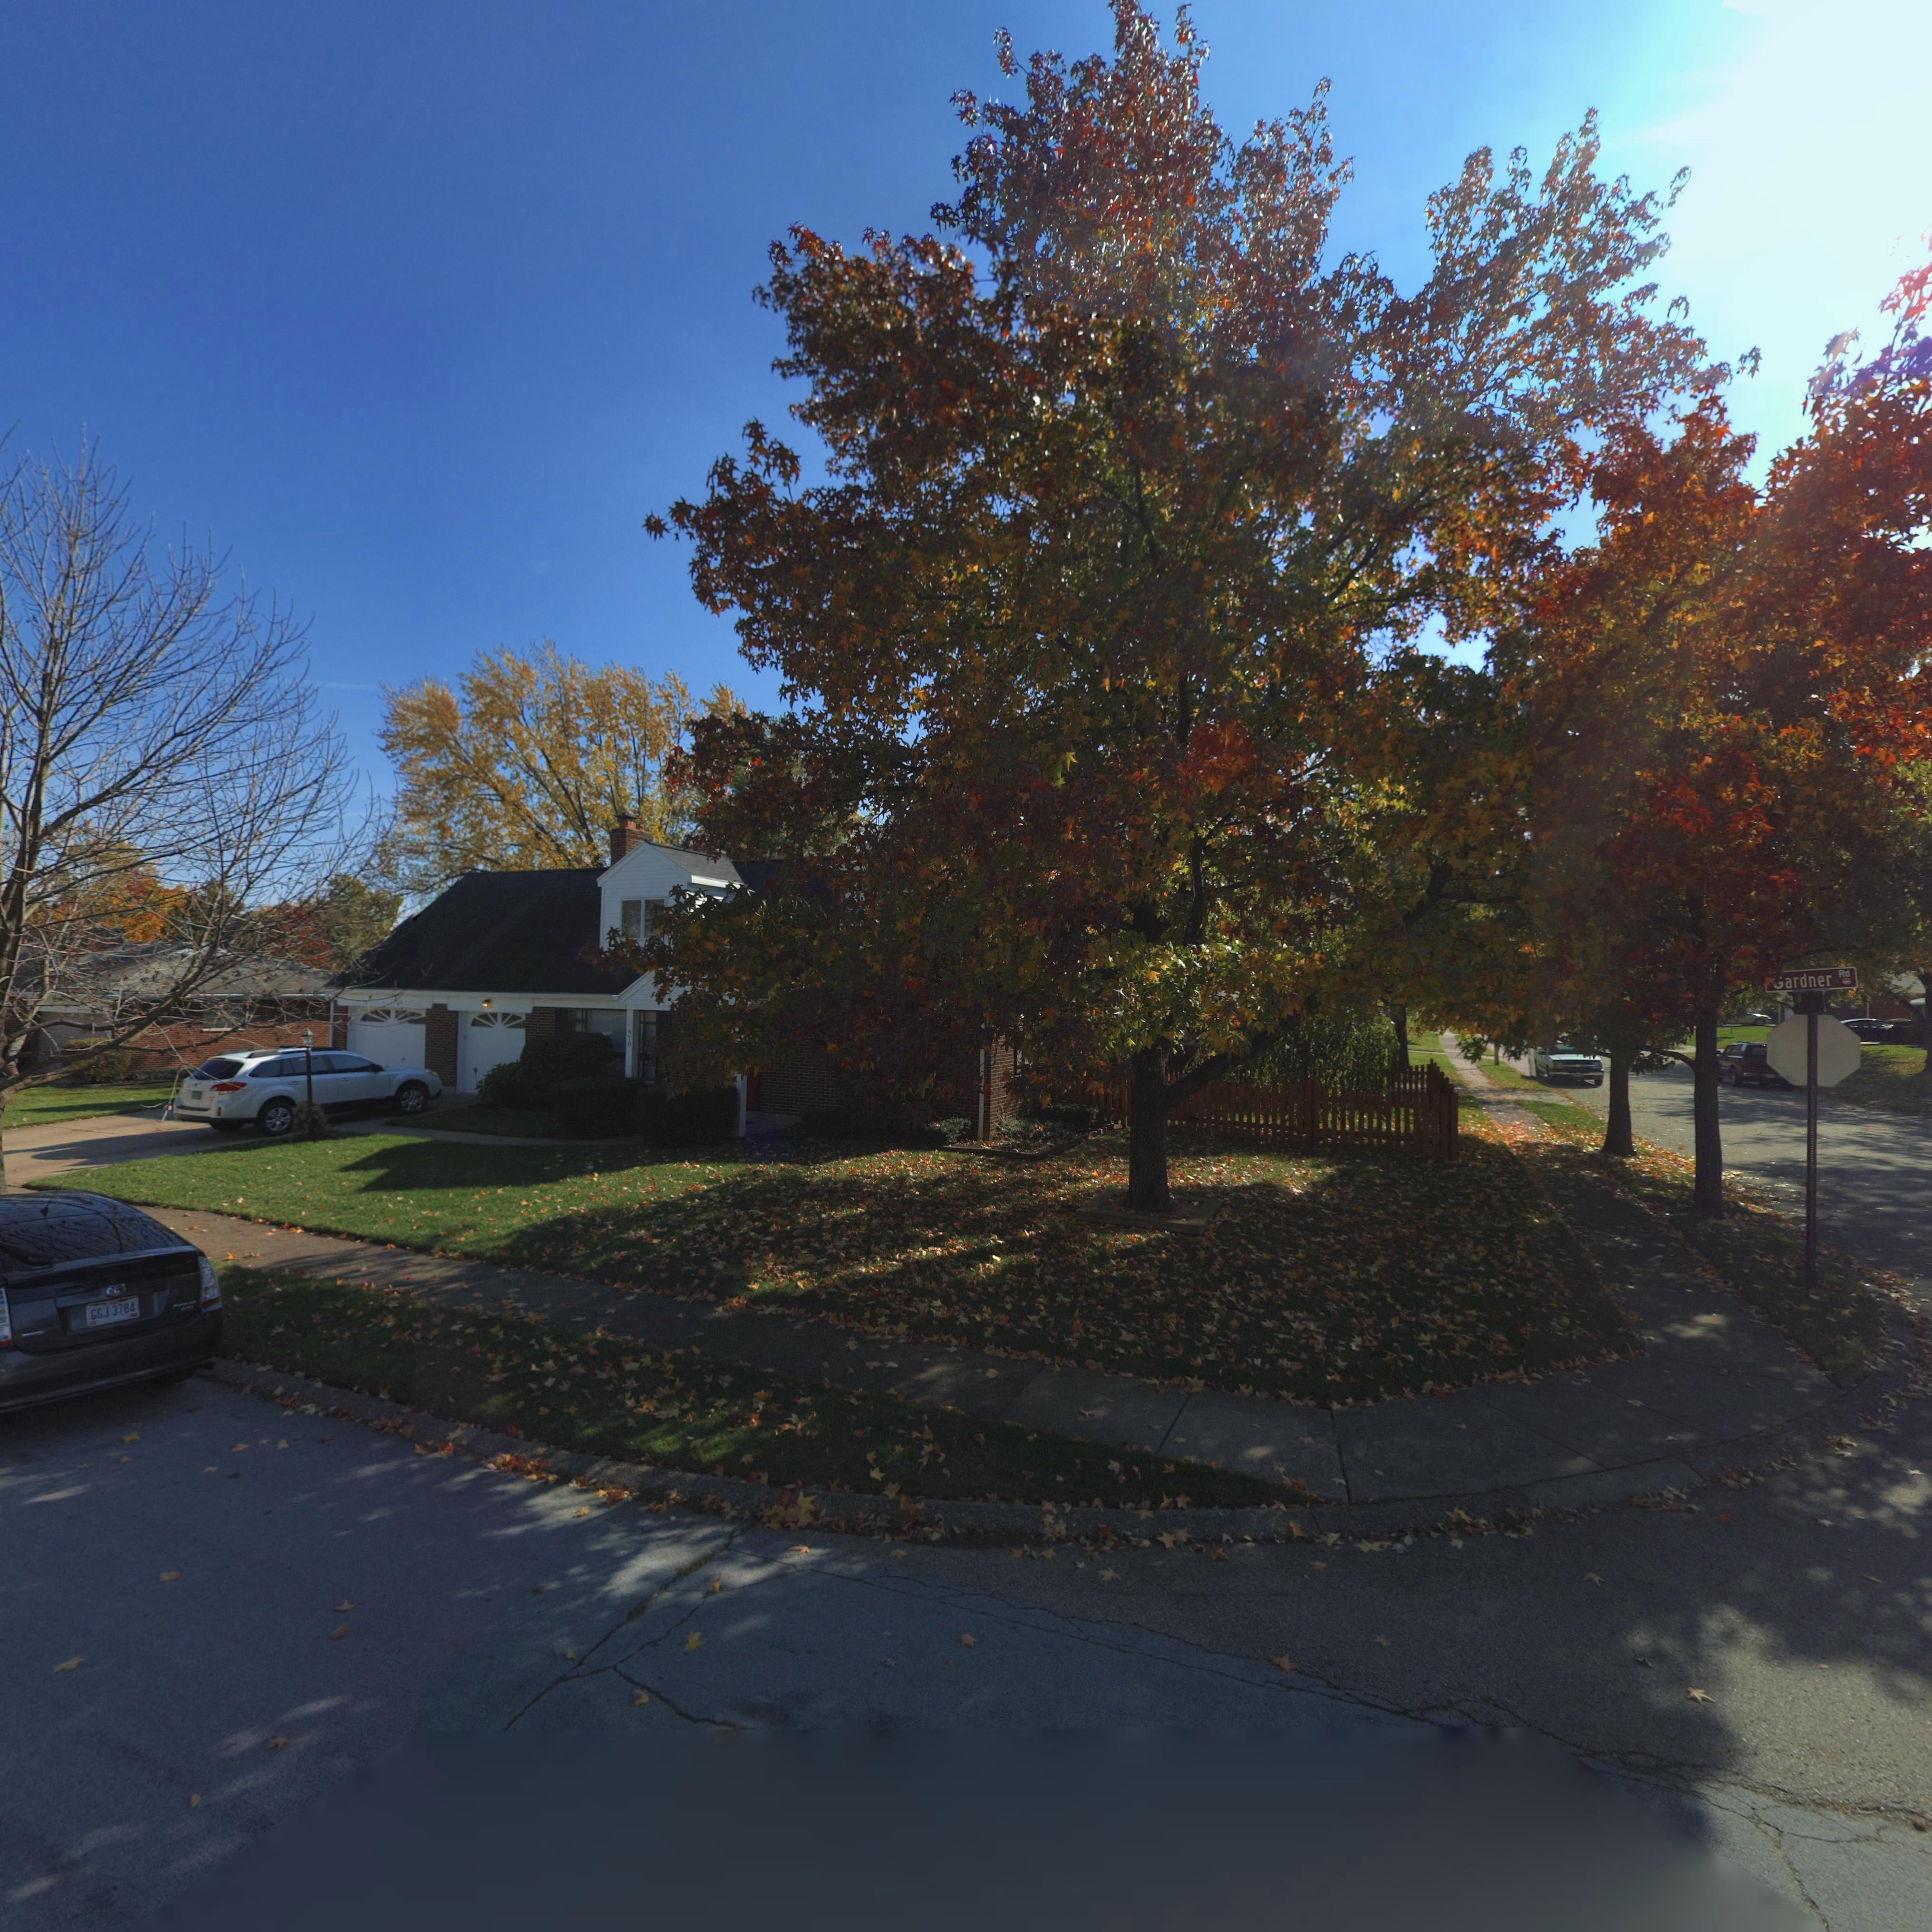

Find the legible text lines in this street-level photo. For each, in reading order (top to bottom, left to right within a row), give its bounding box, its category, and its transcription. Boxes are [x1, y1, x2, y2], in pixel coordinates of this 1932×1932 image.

[626, 1028, 633, 1048] StreetNumber: 970
[89, 1299, 137, 1322] None: GGJ 3784